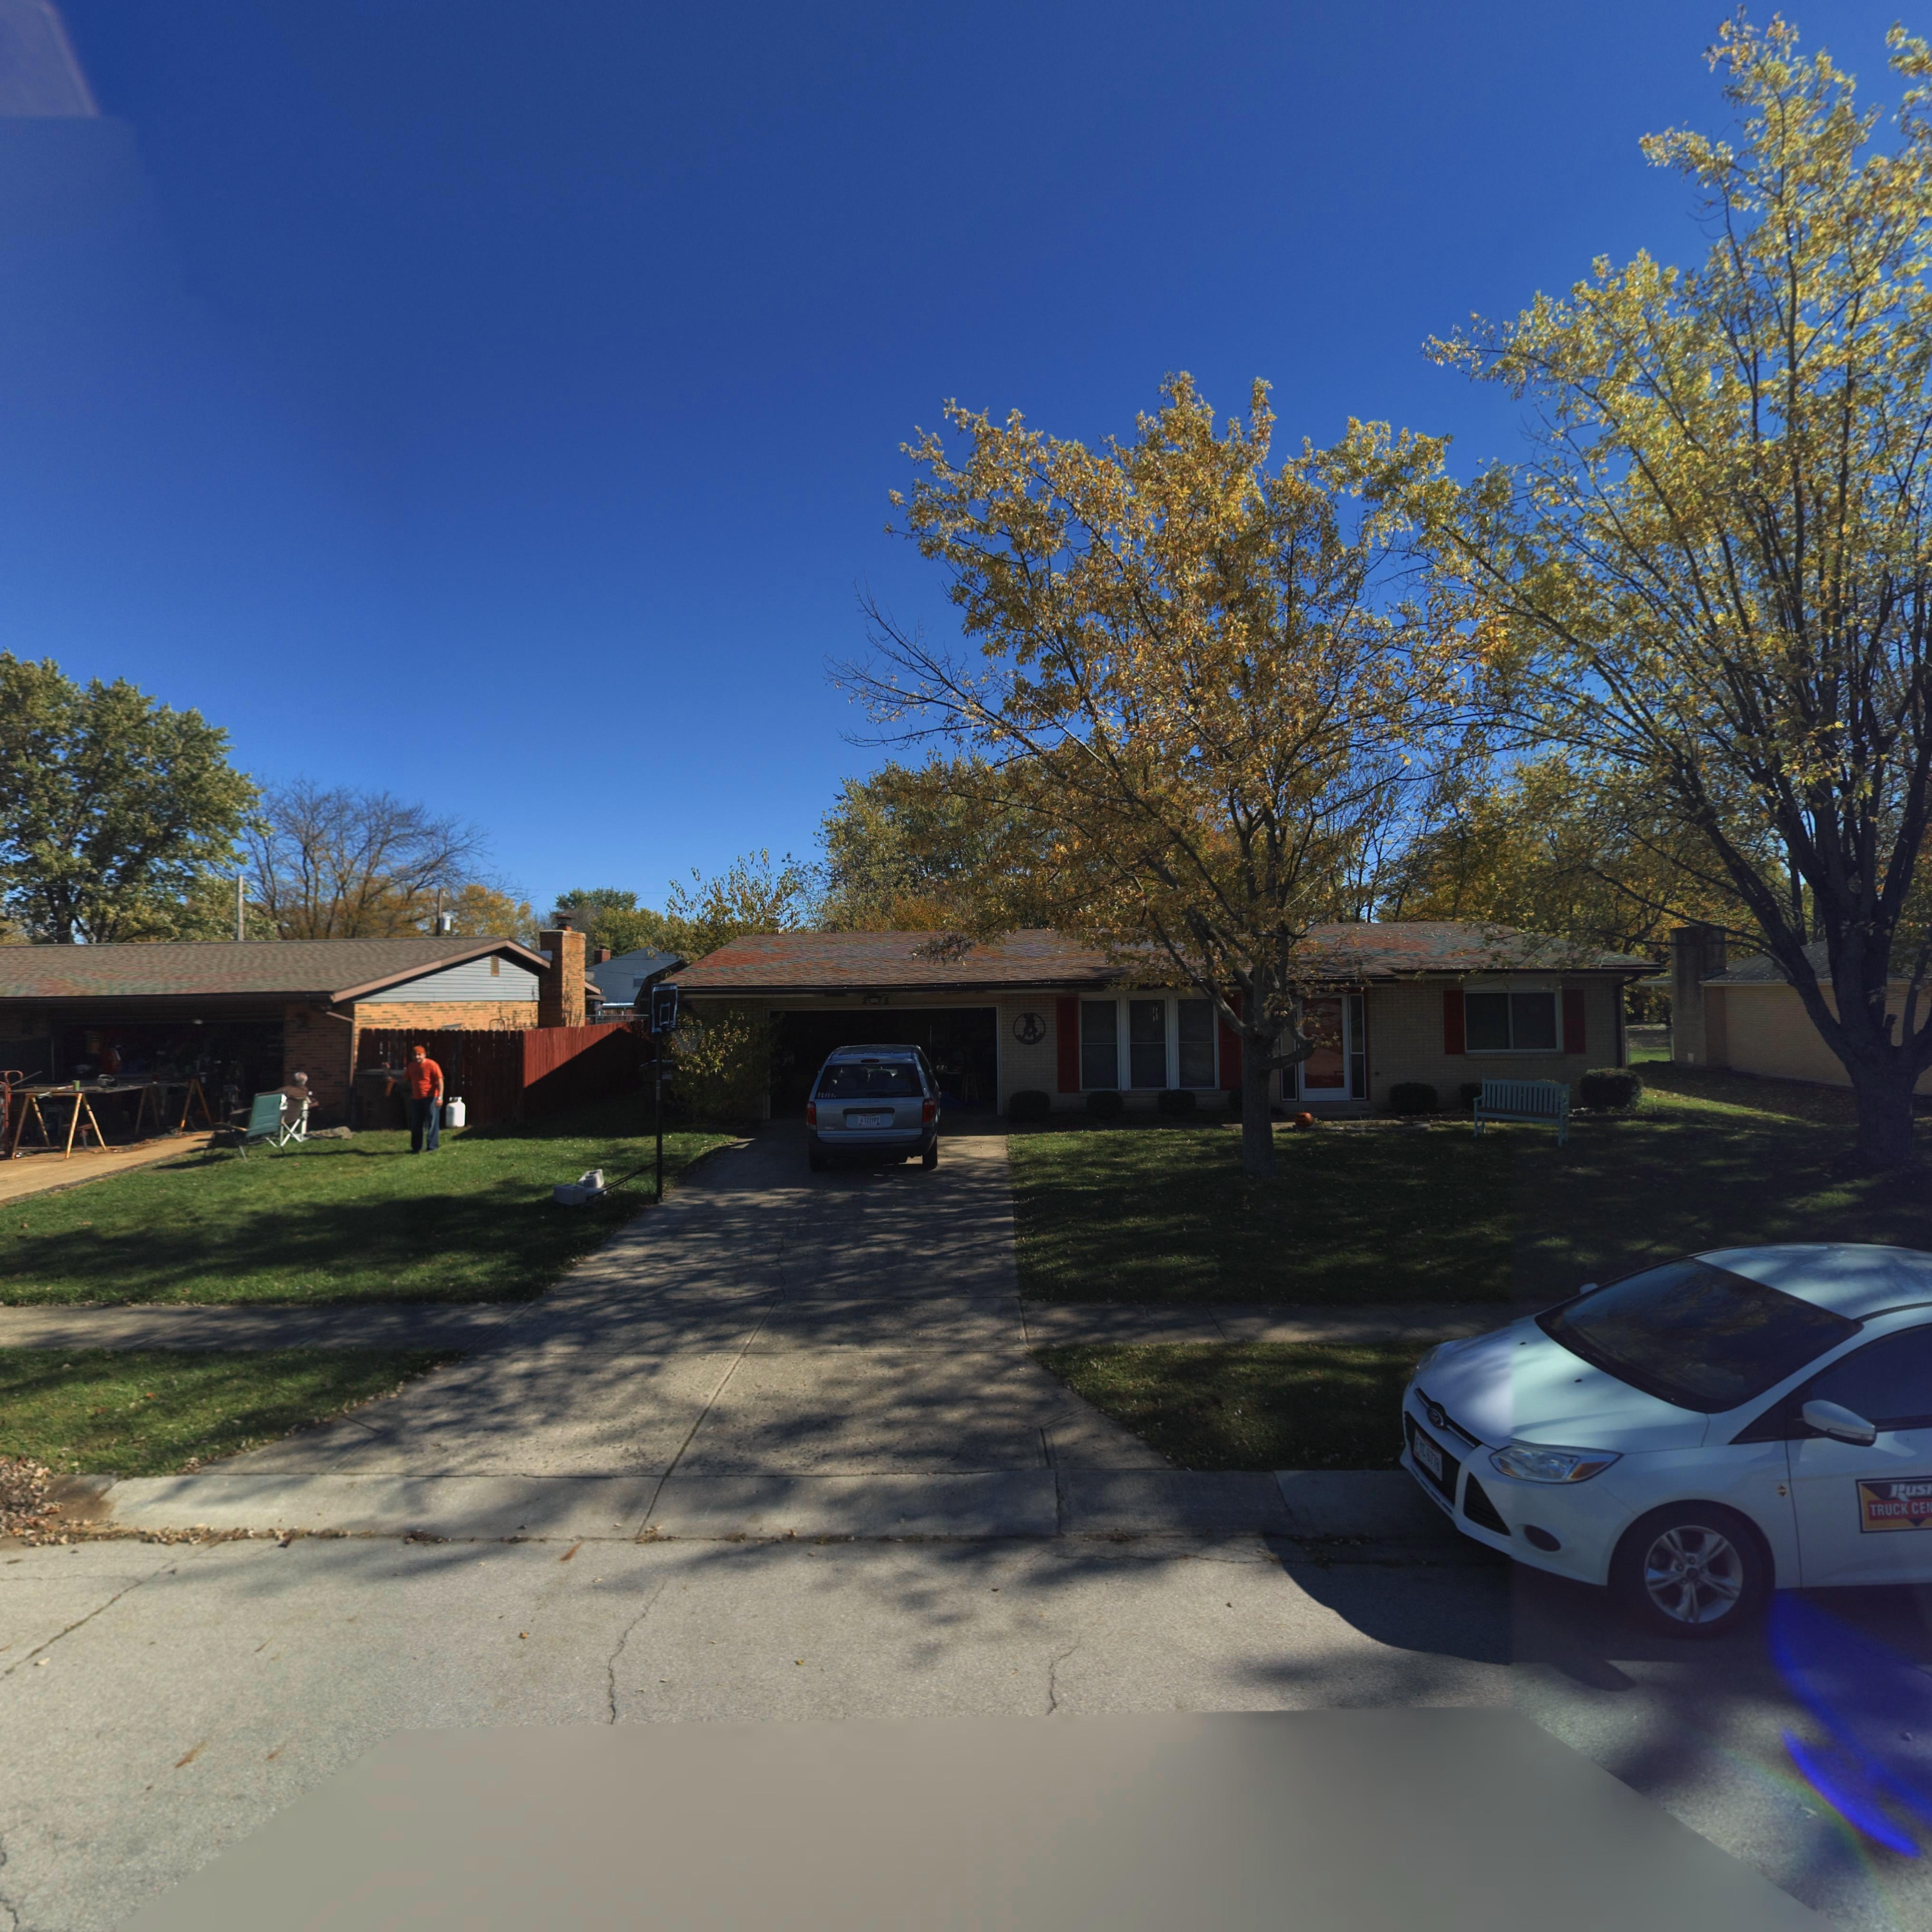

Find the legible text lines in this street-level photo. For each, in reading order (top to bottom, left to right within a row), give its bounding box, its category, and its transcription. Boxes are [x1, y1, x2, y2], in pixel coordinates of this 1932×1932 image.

[861, 996, 889, 1005] StreetNumber: 2*8